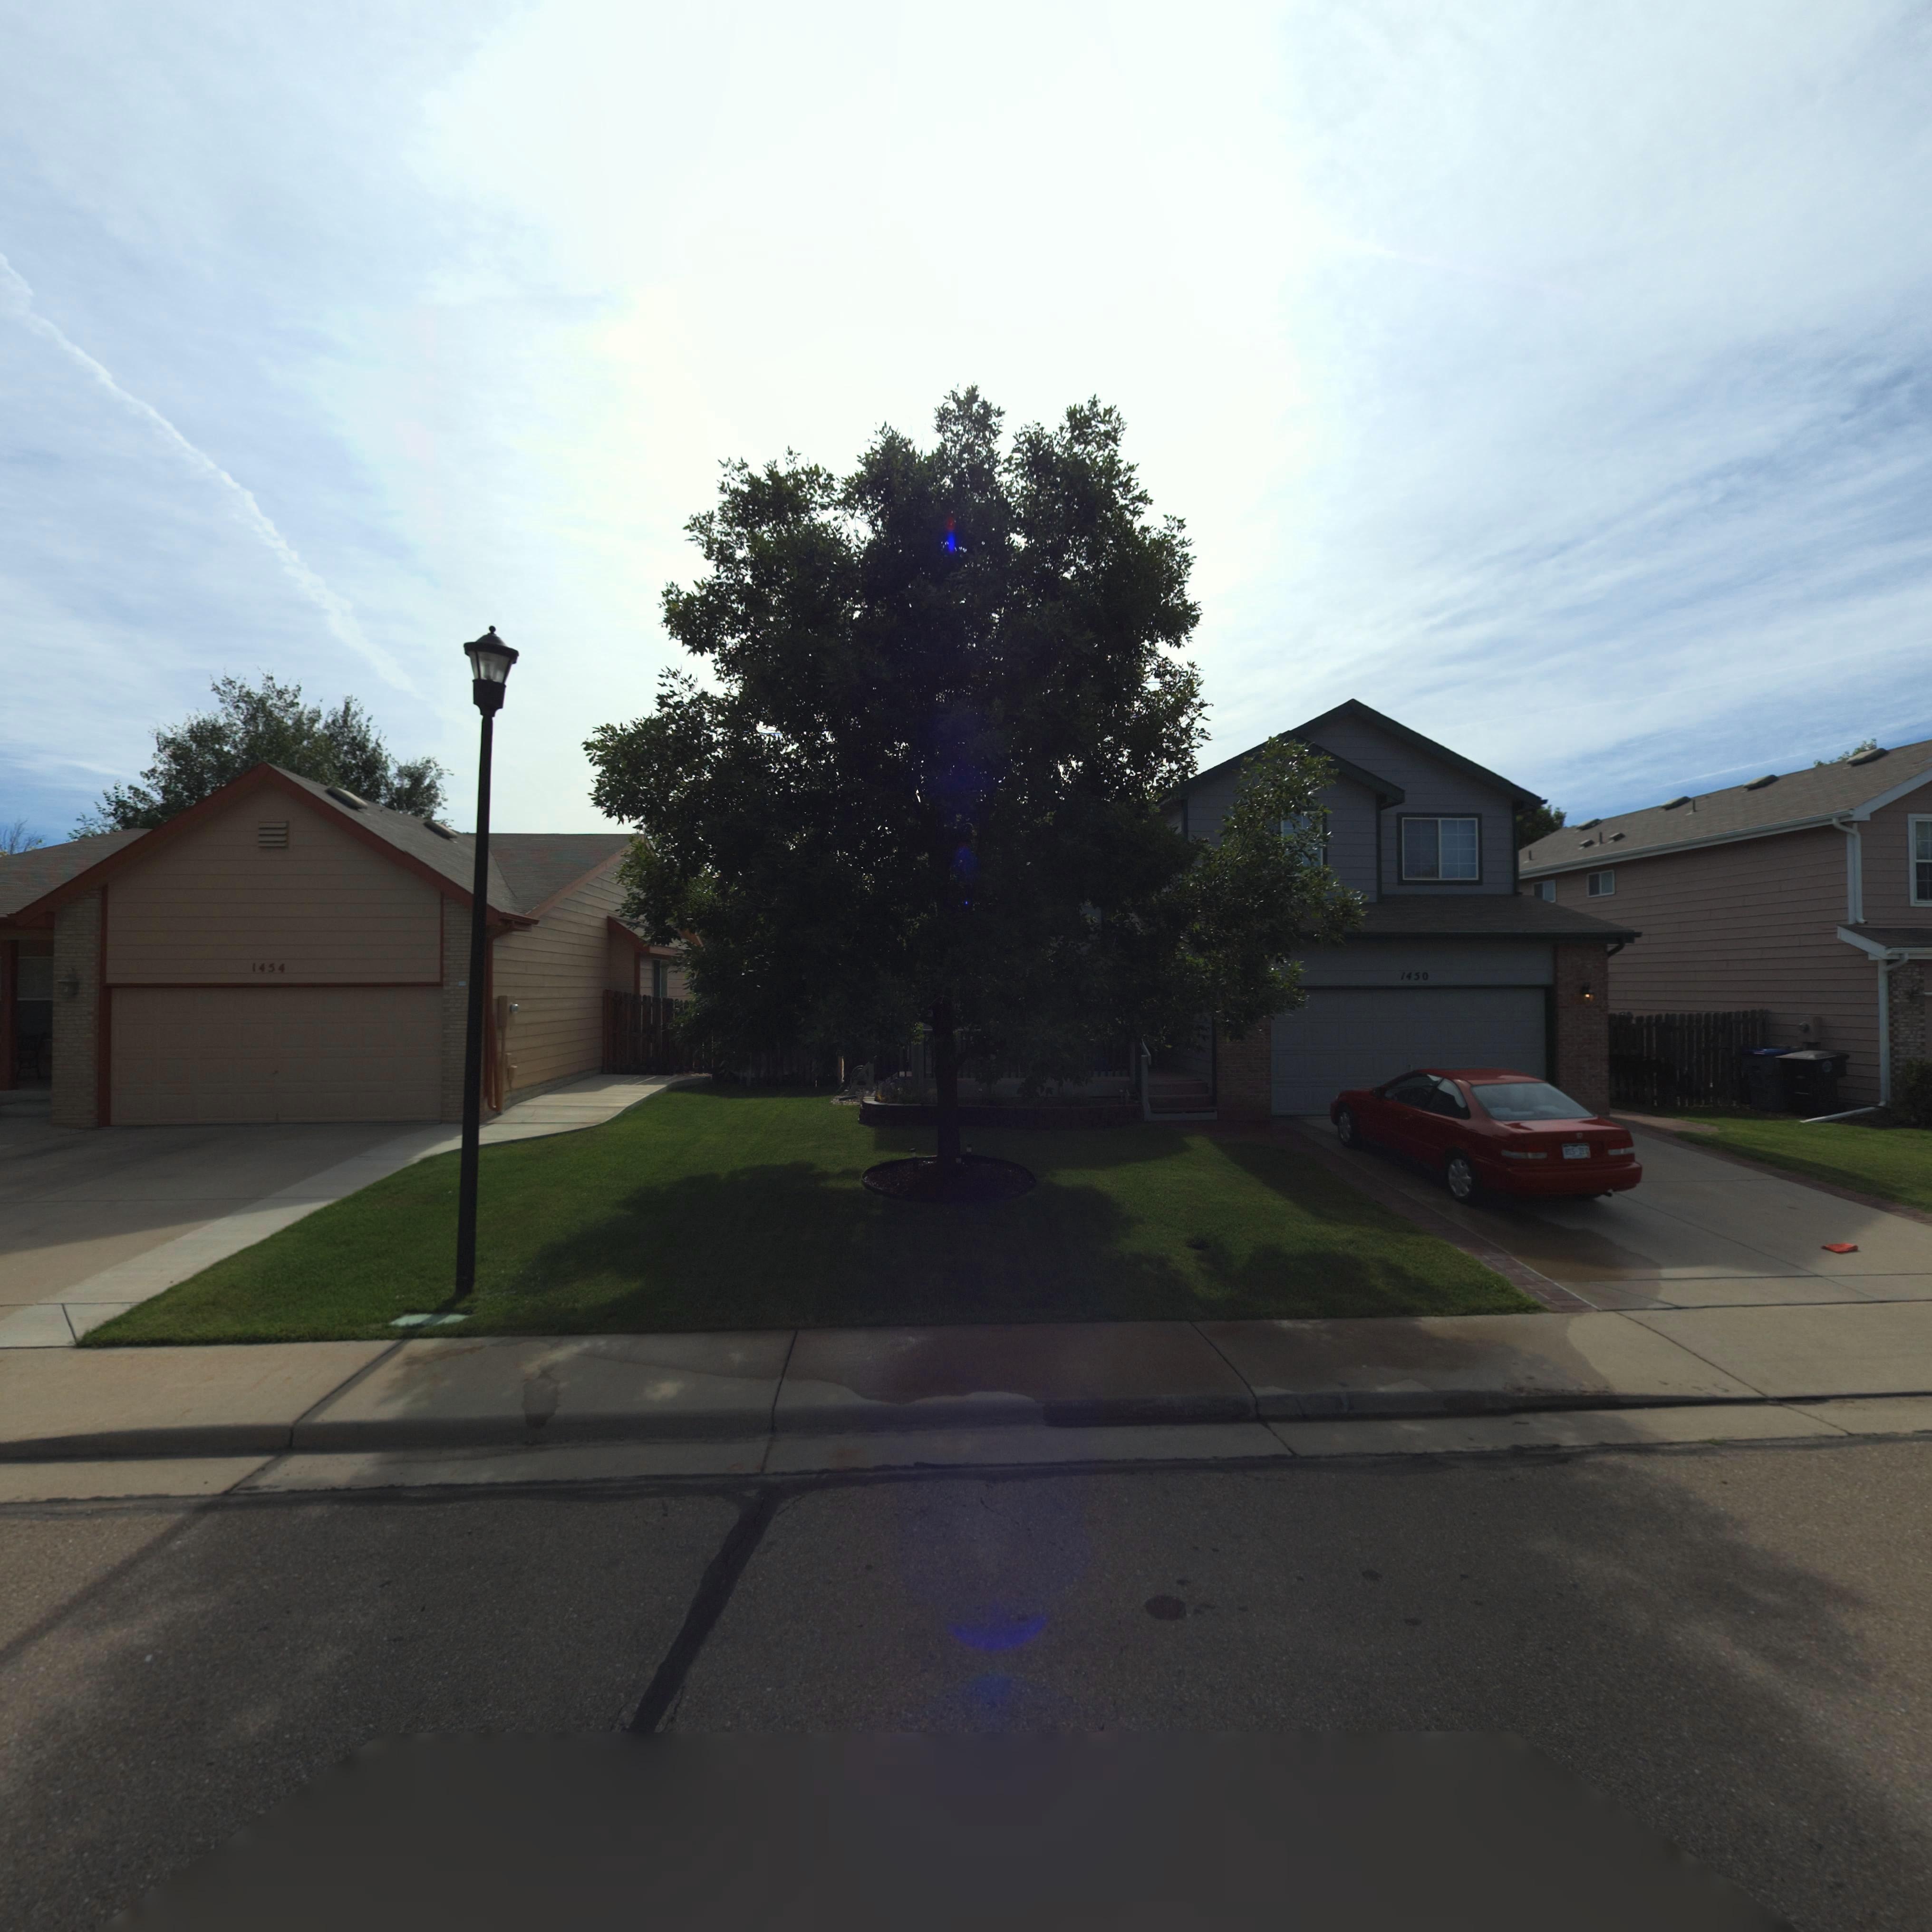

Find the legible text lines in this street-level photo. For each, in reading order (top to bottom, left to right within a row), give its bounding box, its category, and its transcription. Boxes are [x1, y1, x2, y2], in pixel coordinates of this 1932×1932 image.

[251, 961, 286, 974] StreetNumber: 1454
[1399, 970, 1429, 981] StreetNumber: 1450